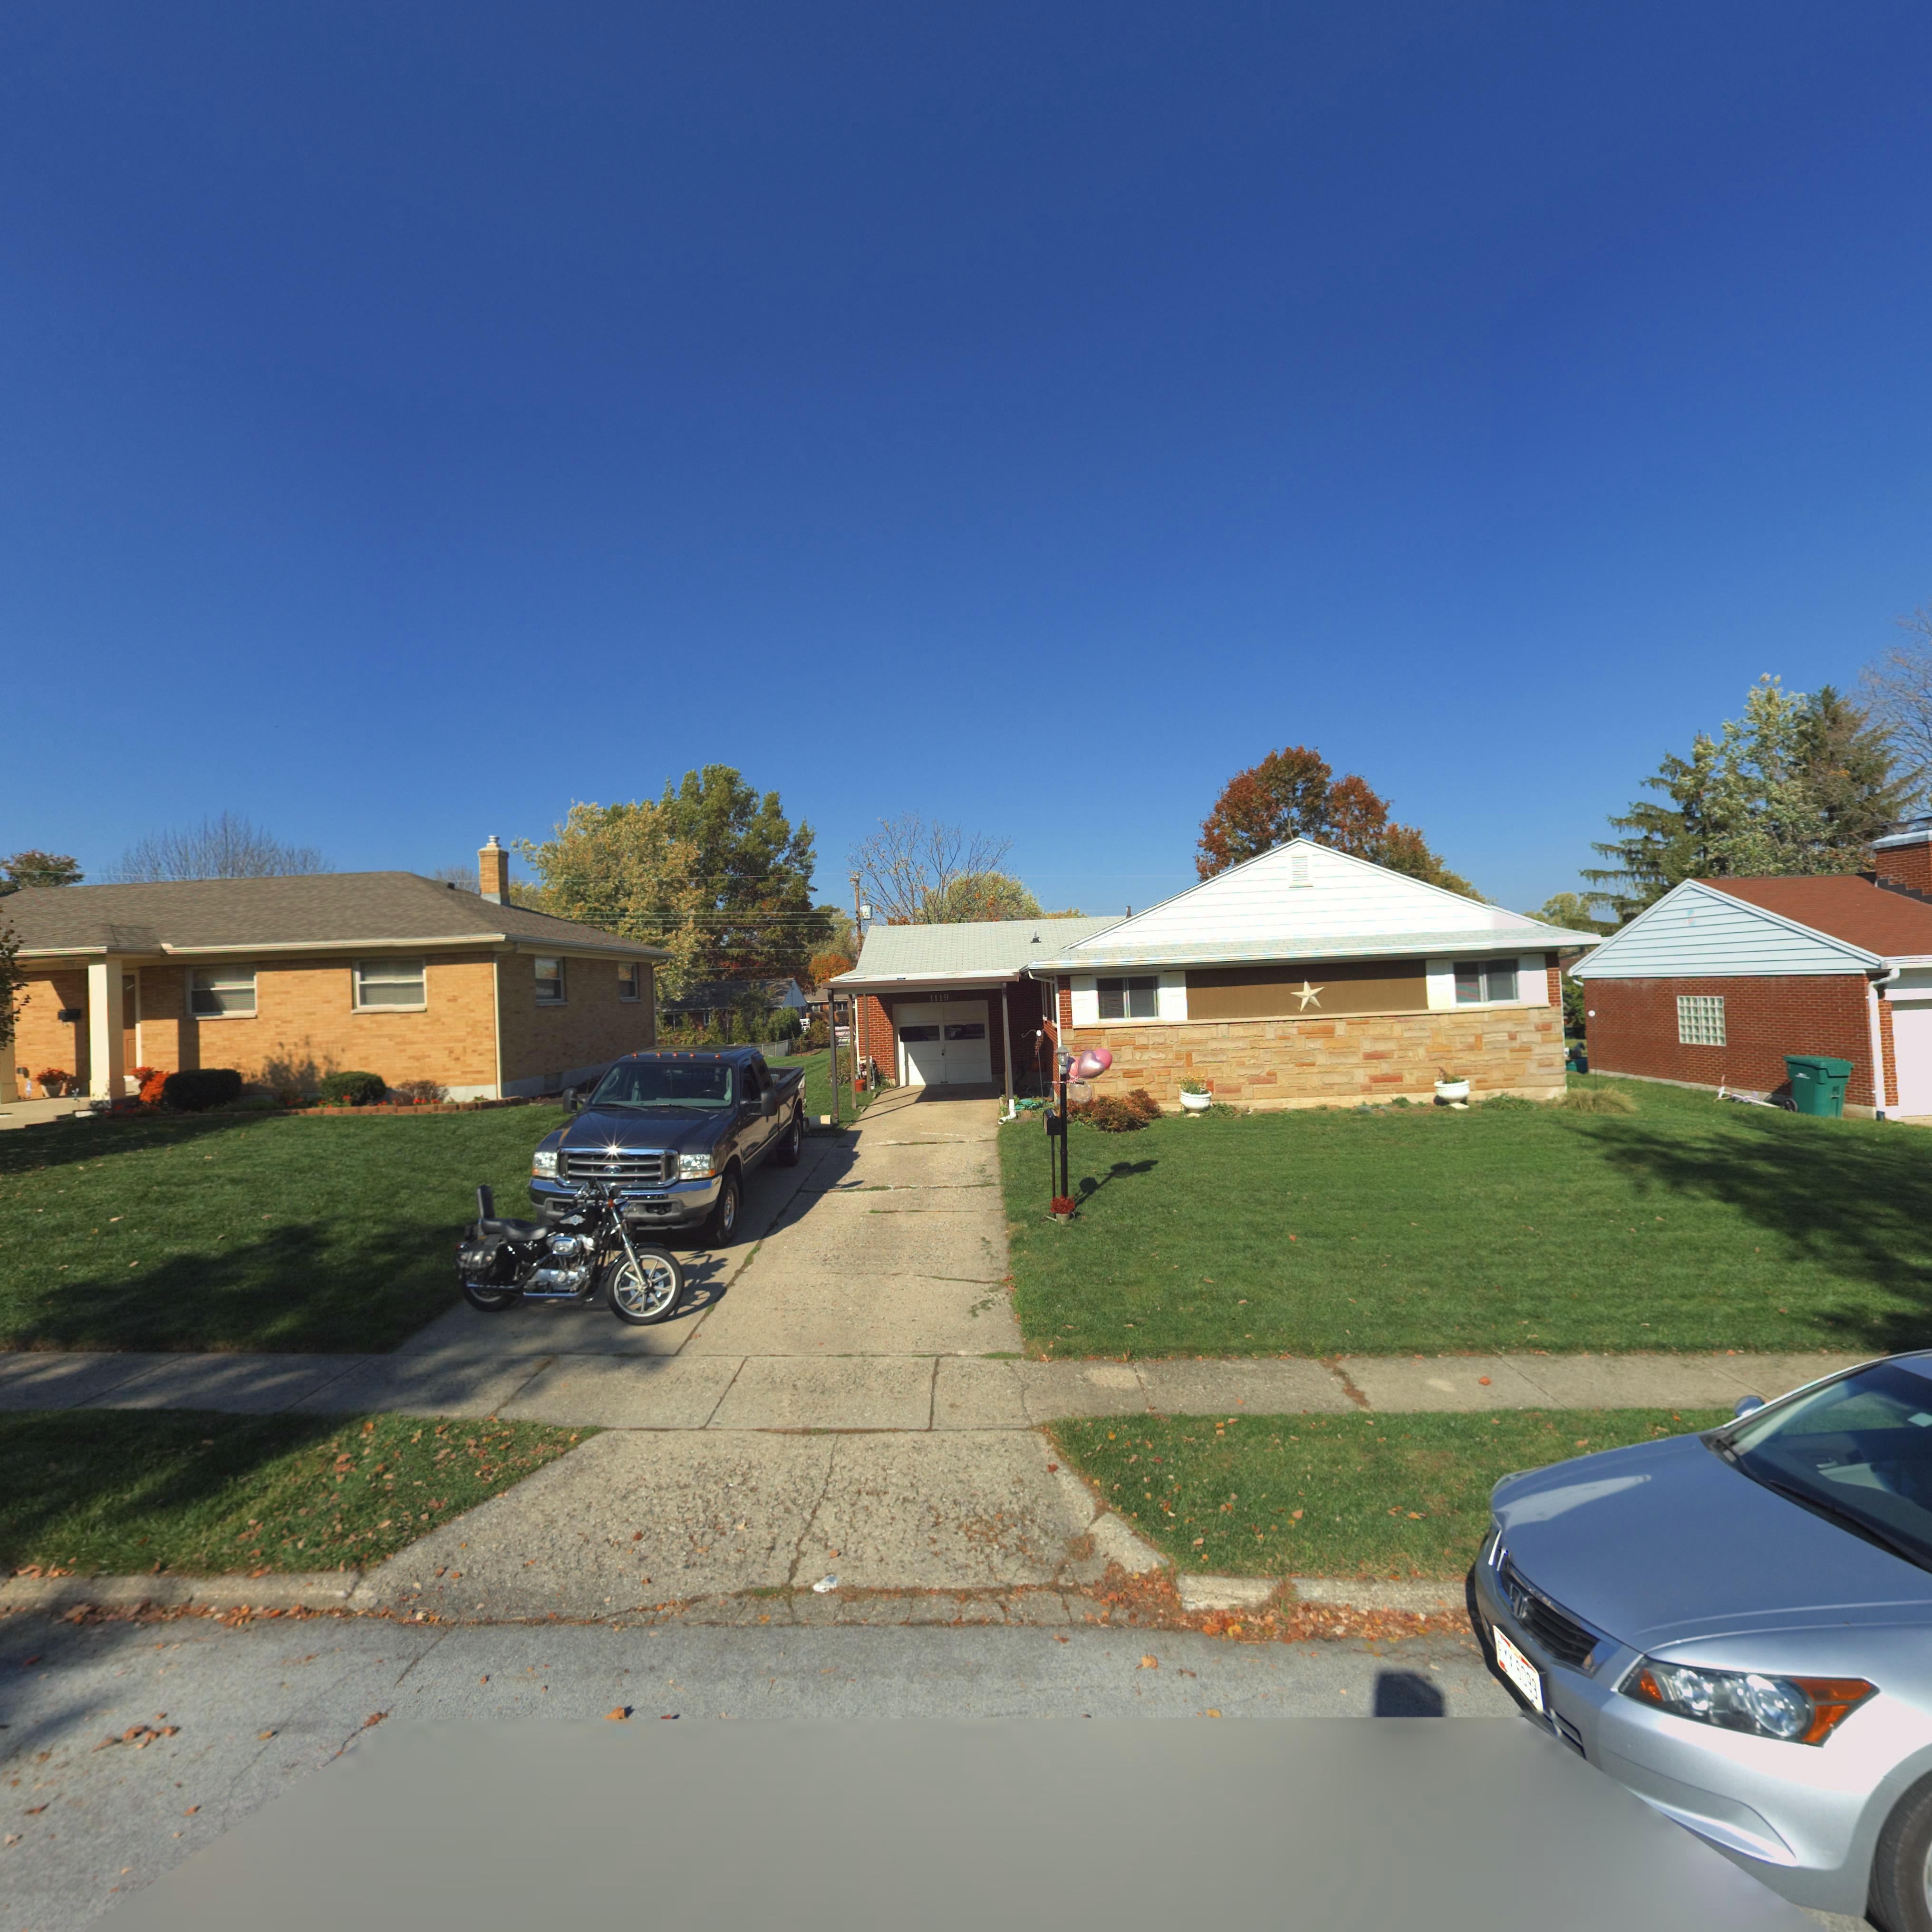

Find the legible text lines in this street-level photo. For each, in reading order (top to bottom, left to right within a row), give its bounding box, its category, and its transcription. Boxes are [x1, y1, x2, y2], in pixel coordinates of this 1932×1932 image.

[929, 992, 950, 1003] StreetNumber: 1119